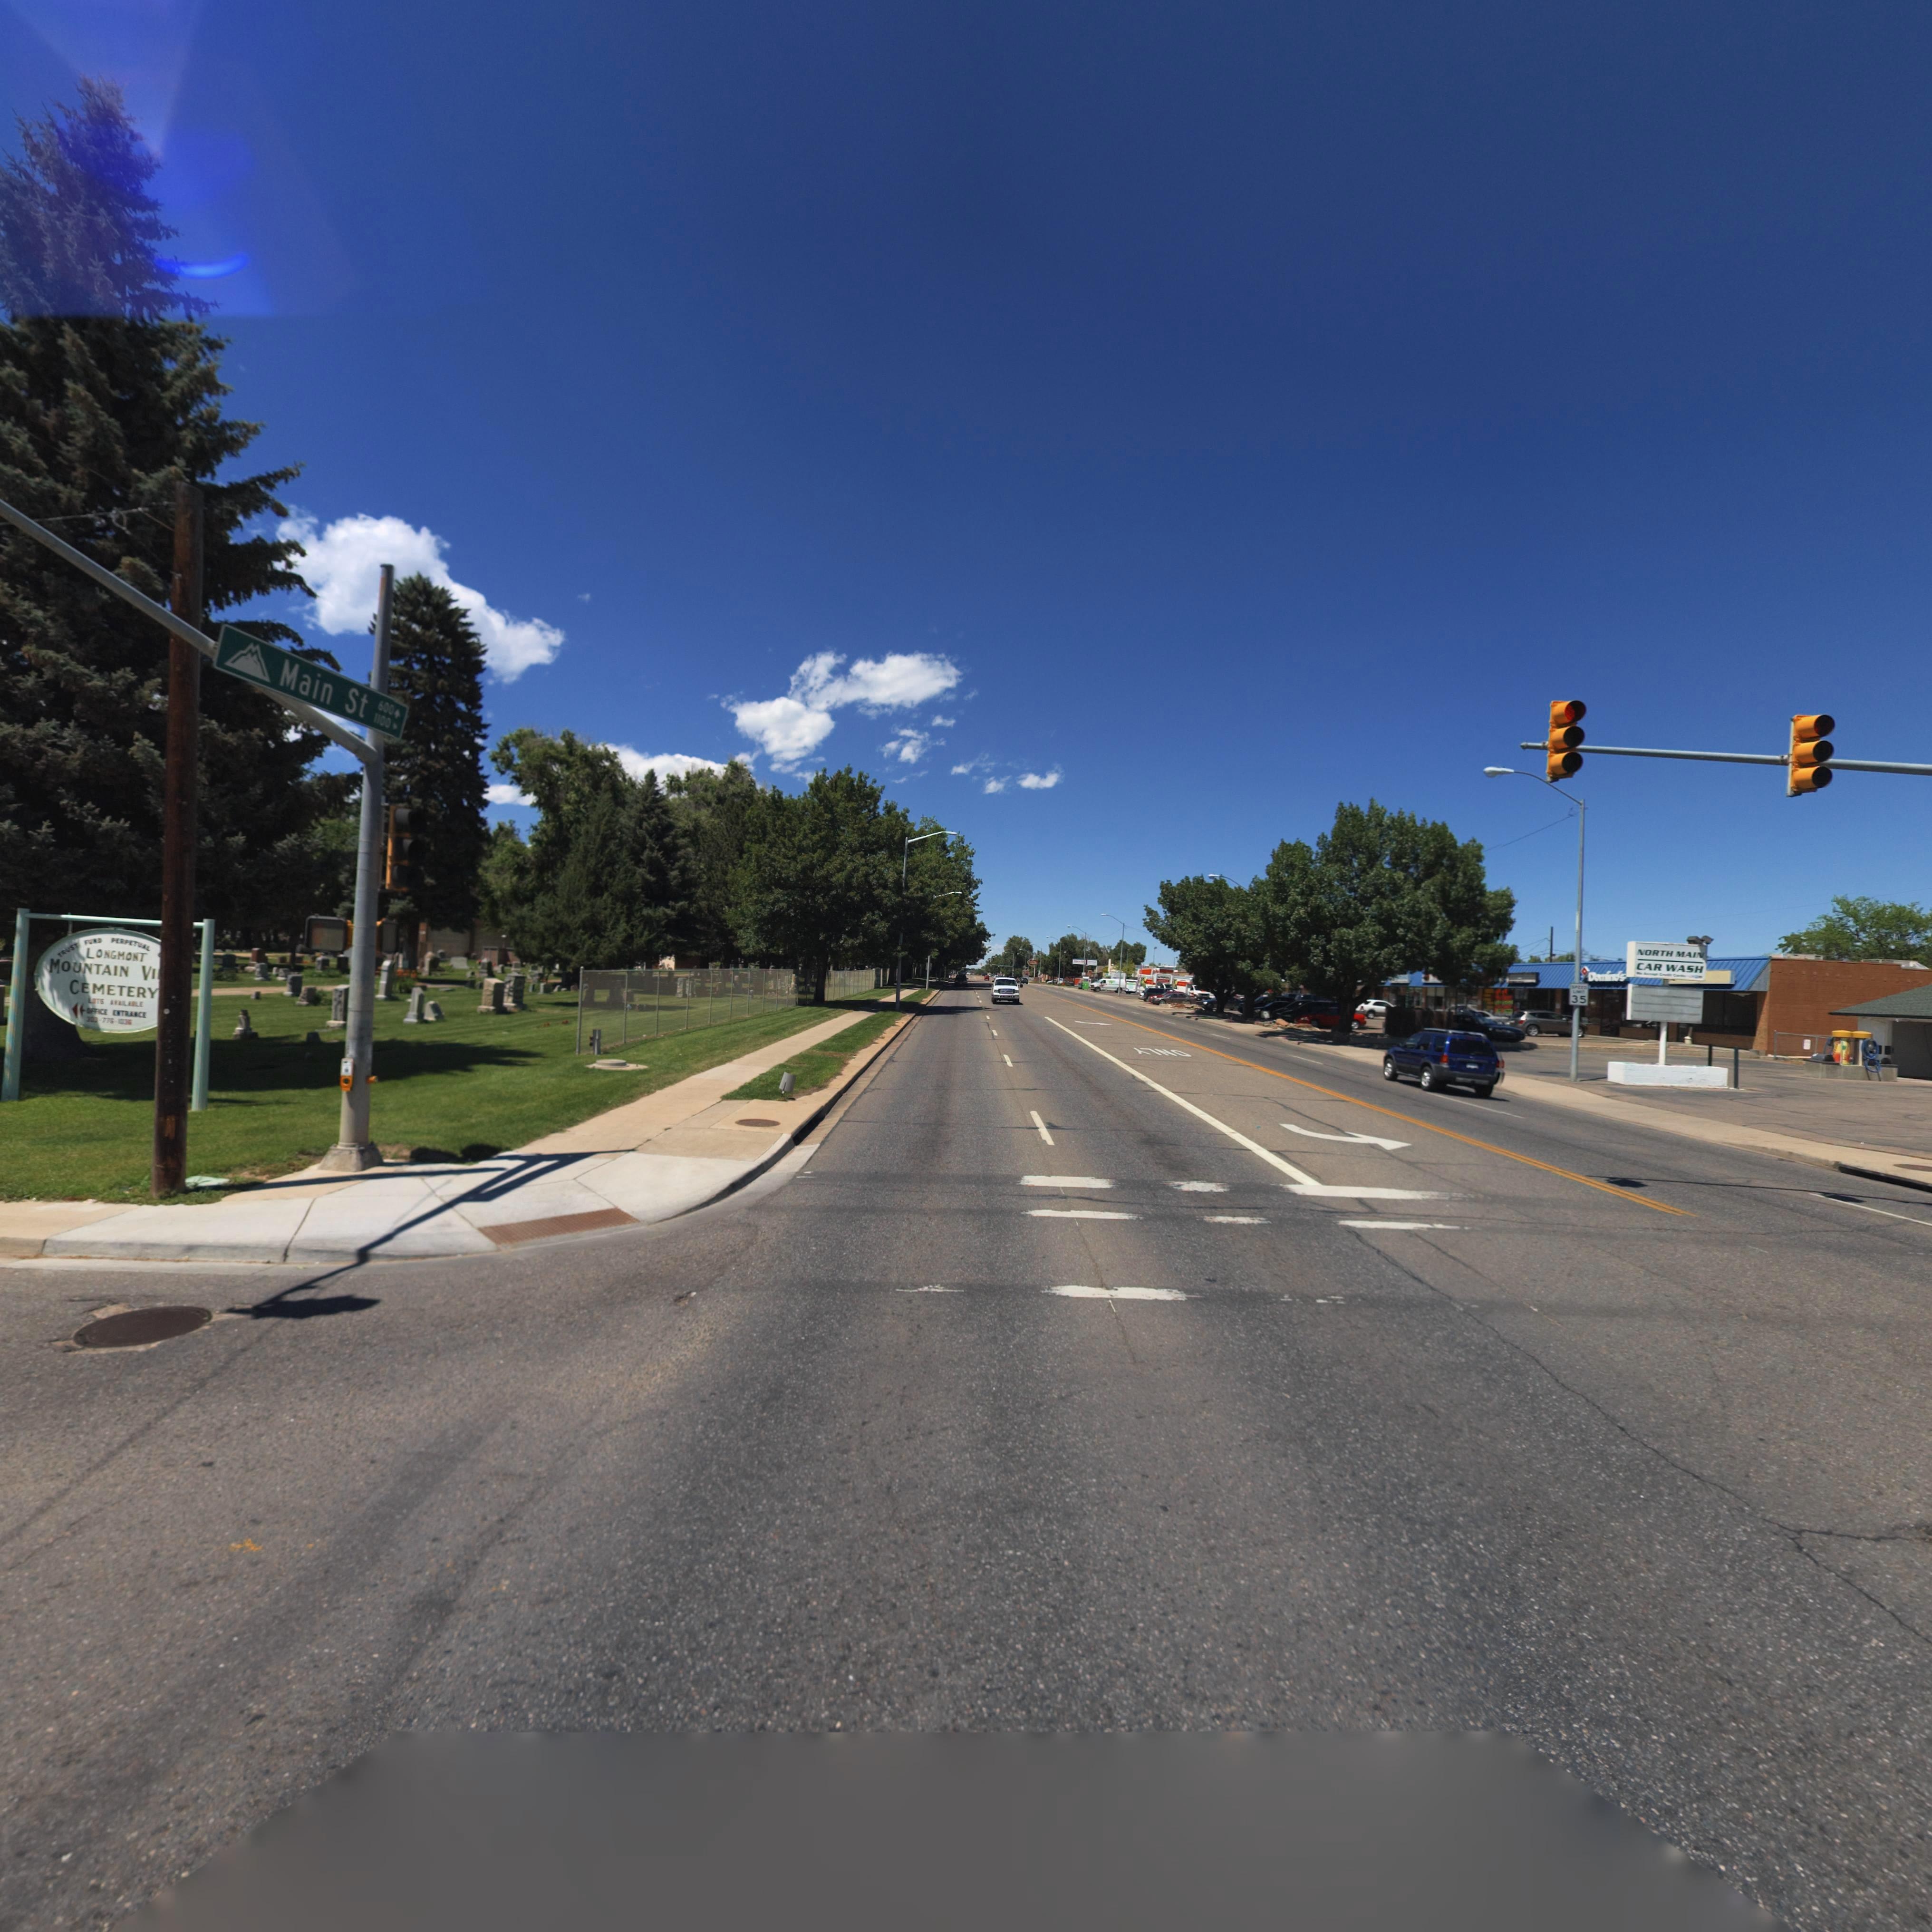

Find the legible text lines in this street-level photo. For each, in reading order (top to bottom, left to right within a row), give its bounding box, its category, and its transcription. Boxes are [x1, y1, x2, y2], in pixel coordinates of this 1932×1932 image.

[277, 656, 369, 719] StreetName: Main St
[377, 698, 395, 715] StreetNumberRange: 600
[372, 711, 398, 730] StreetNumberRange: 1100*
[85, 947, 148, 963] BusinessName: LONGMONT
[1636, 948, 1705, 958] BusinessName: NORTH MAIN
[48, 957, 160, 981] BusinessName: MOUNTAIN VI*
[1587, 970, 1627, 982] BusinessName: D****'s
[1636, 962, 1704, 974] BusinessName: CAR WASH
[68, 978, 160, 999] BusinessName: CEMETERY